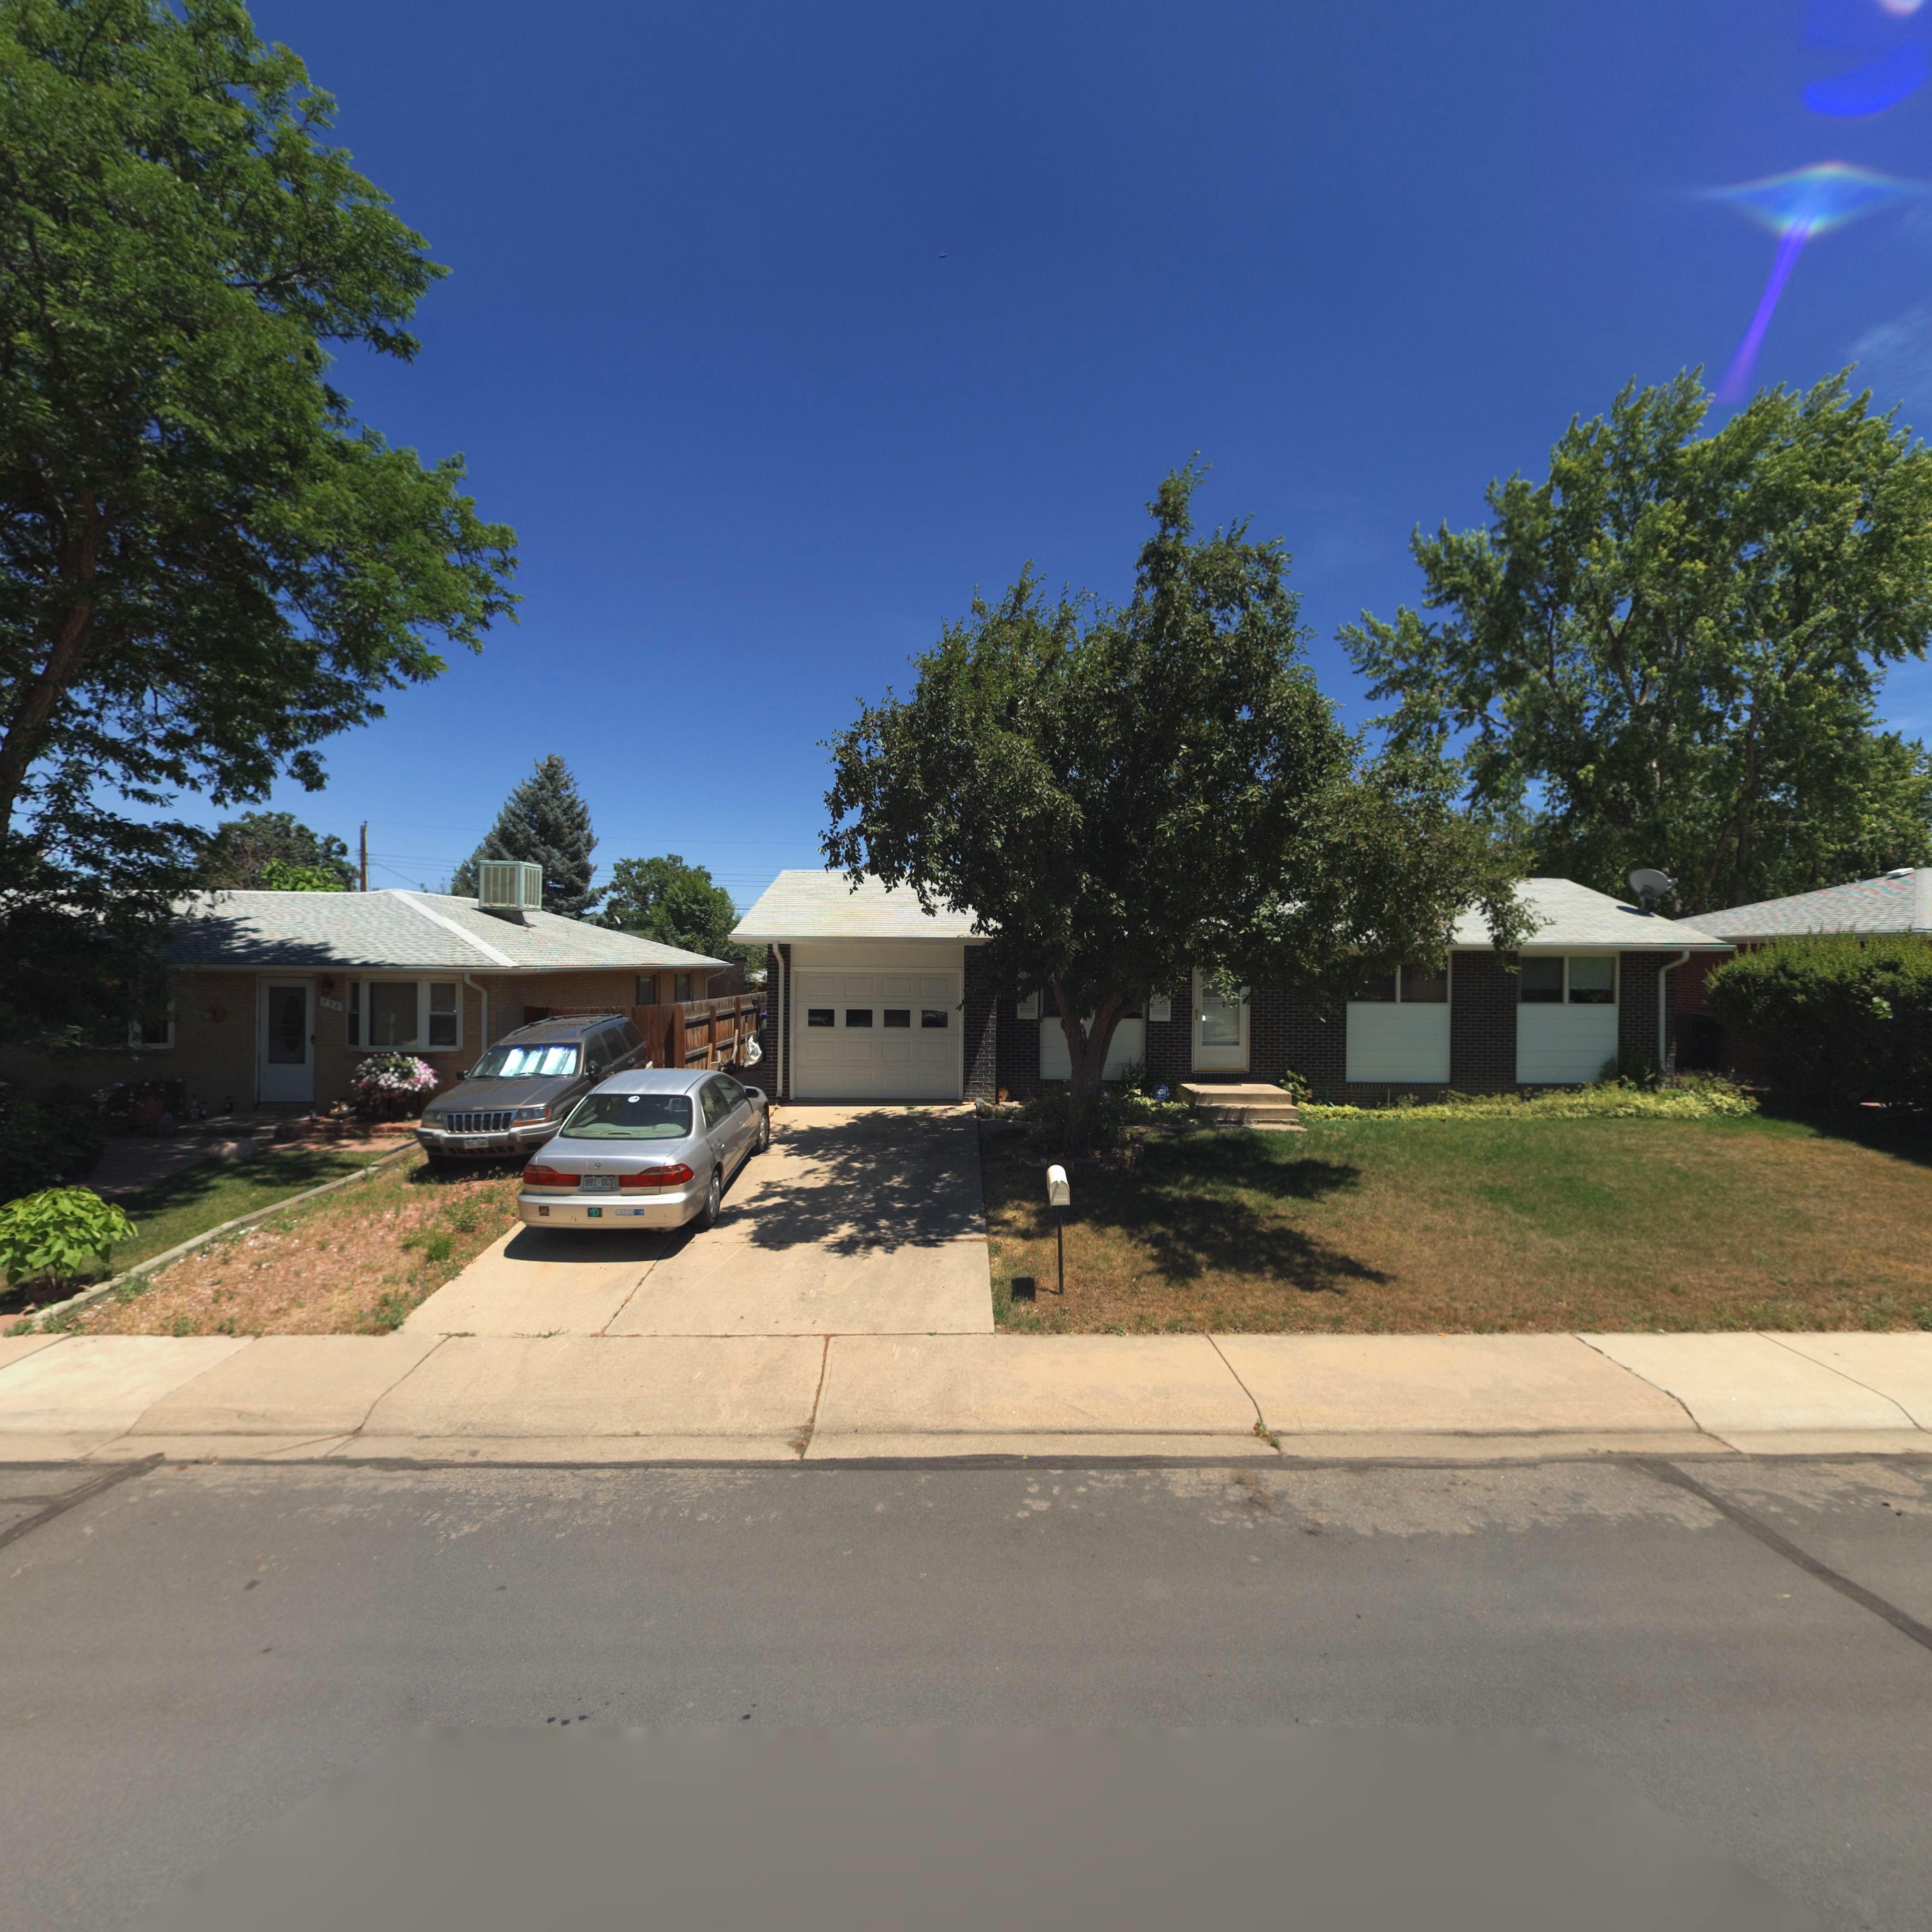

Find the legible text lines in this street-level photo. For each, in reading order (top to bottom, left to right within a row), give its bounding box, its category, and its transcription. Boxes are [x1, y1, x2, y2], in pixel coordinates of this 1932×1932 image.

[321, 998, 339, 1010] StreetNumber: 738